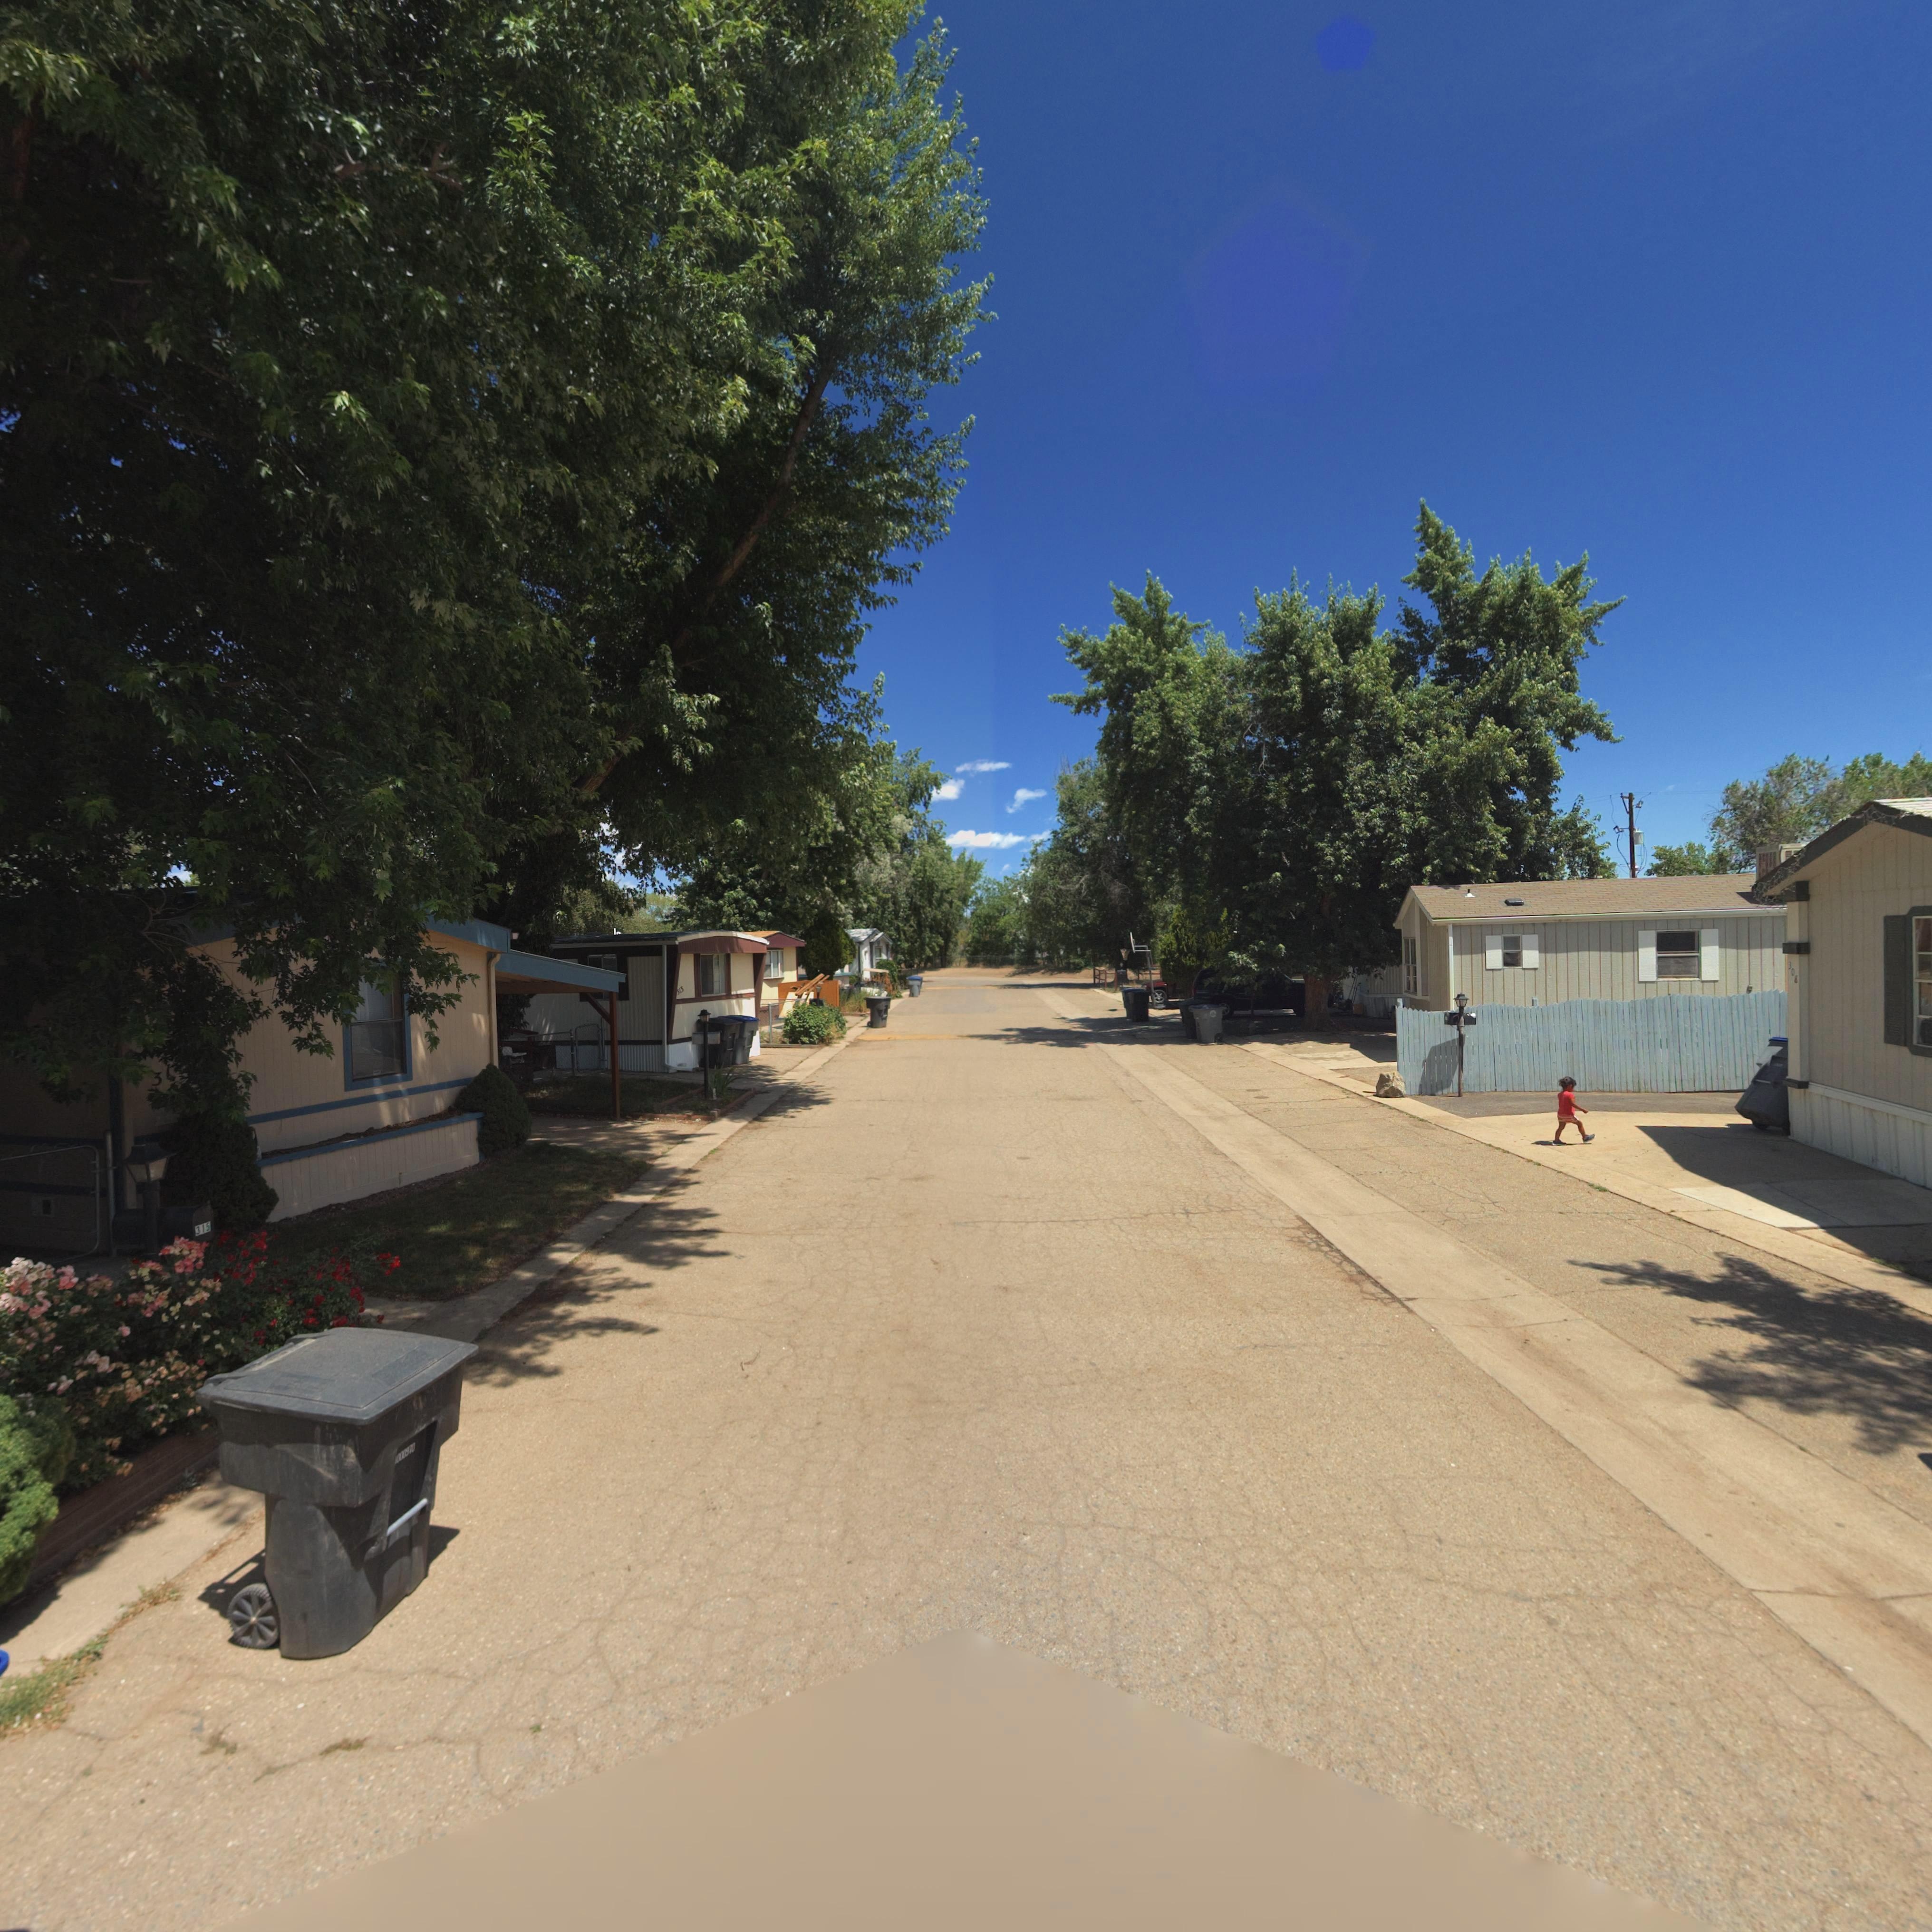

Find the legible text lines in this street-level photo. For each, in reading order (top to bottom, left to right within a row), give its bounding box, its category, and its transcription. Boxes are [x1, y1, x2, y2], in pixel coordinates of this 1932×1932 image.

[1788, 959, 1798, 985] StreetNumber: 308
[676, 985, 684, 995] StreetNumber: 313
[195, 1221, 210, 1235] StreetNumber: 315